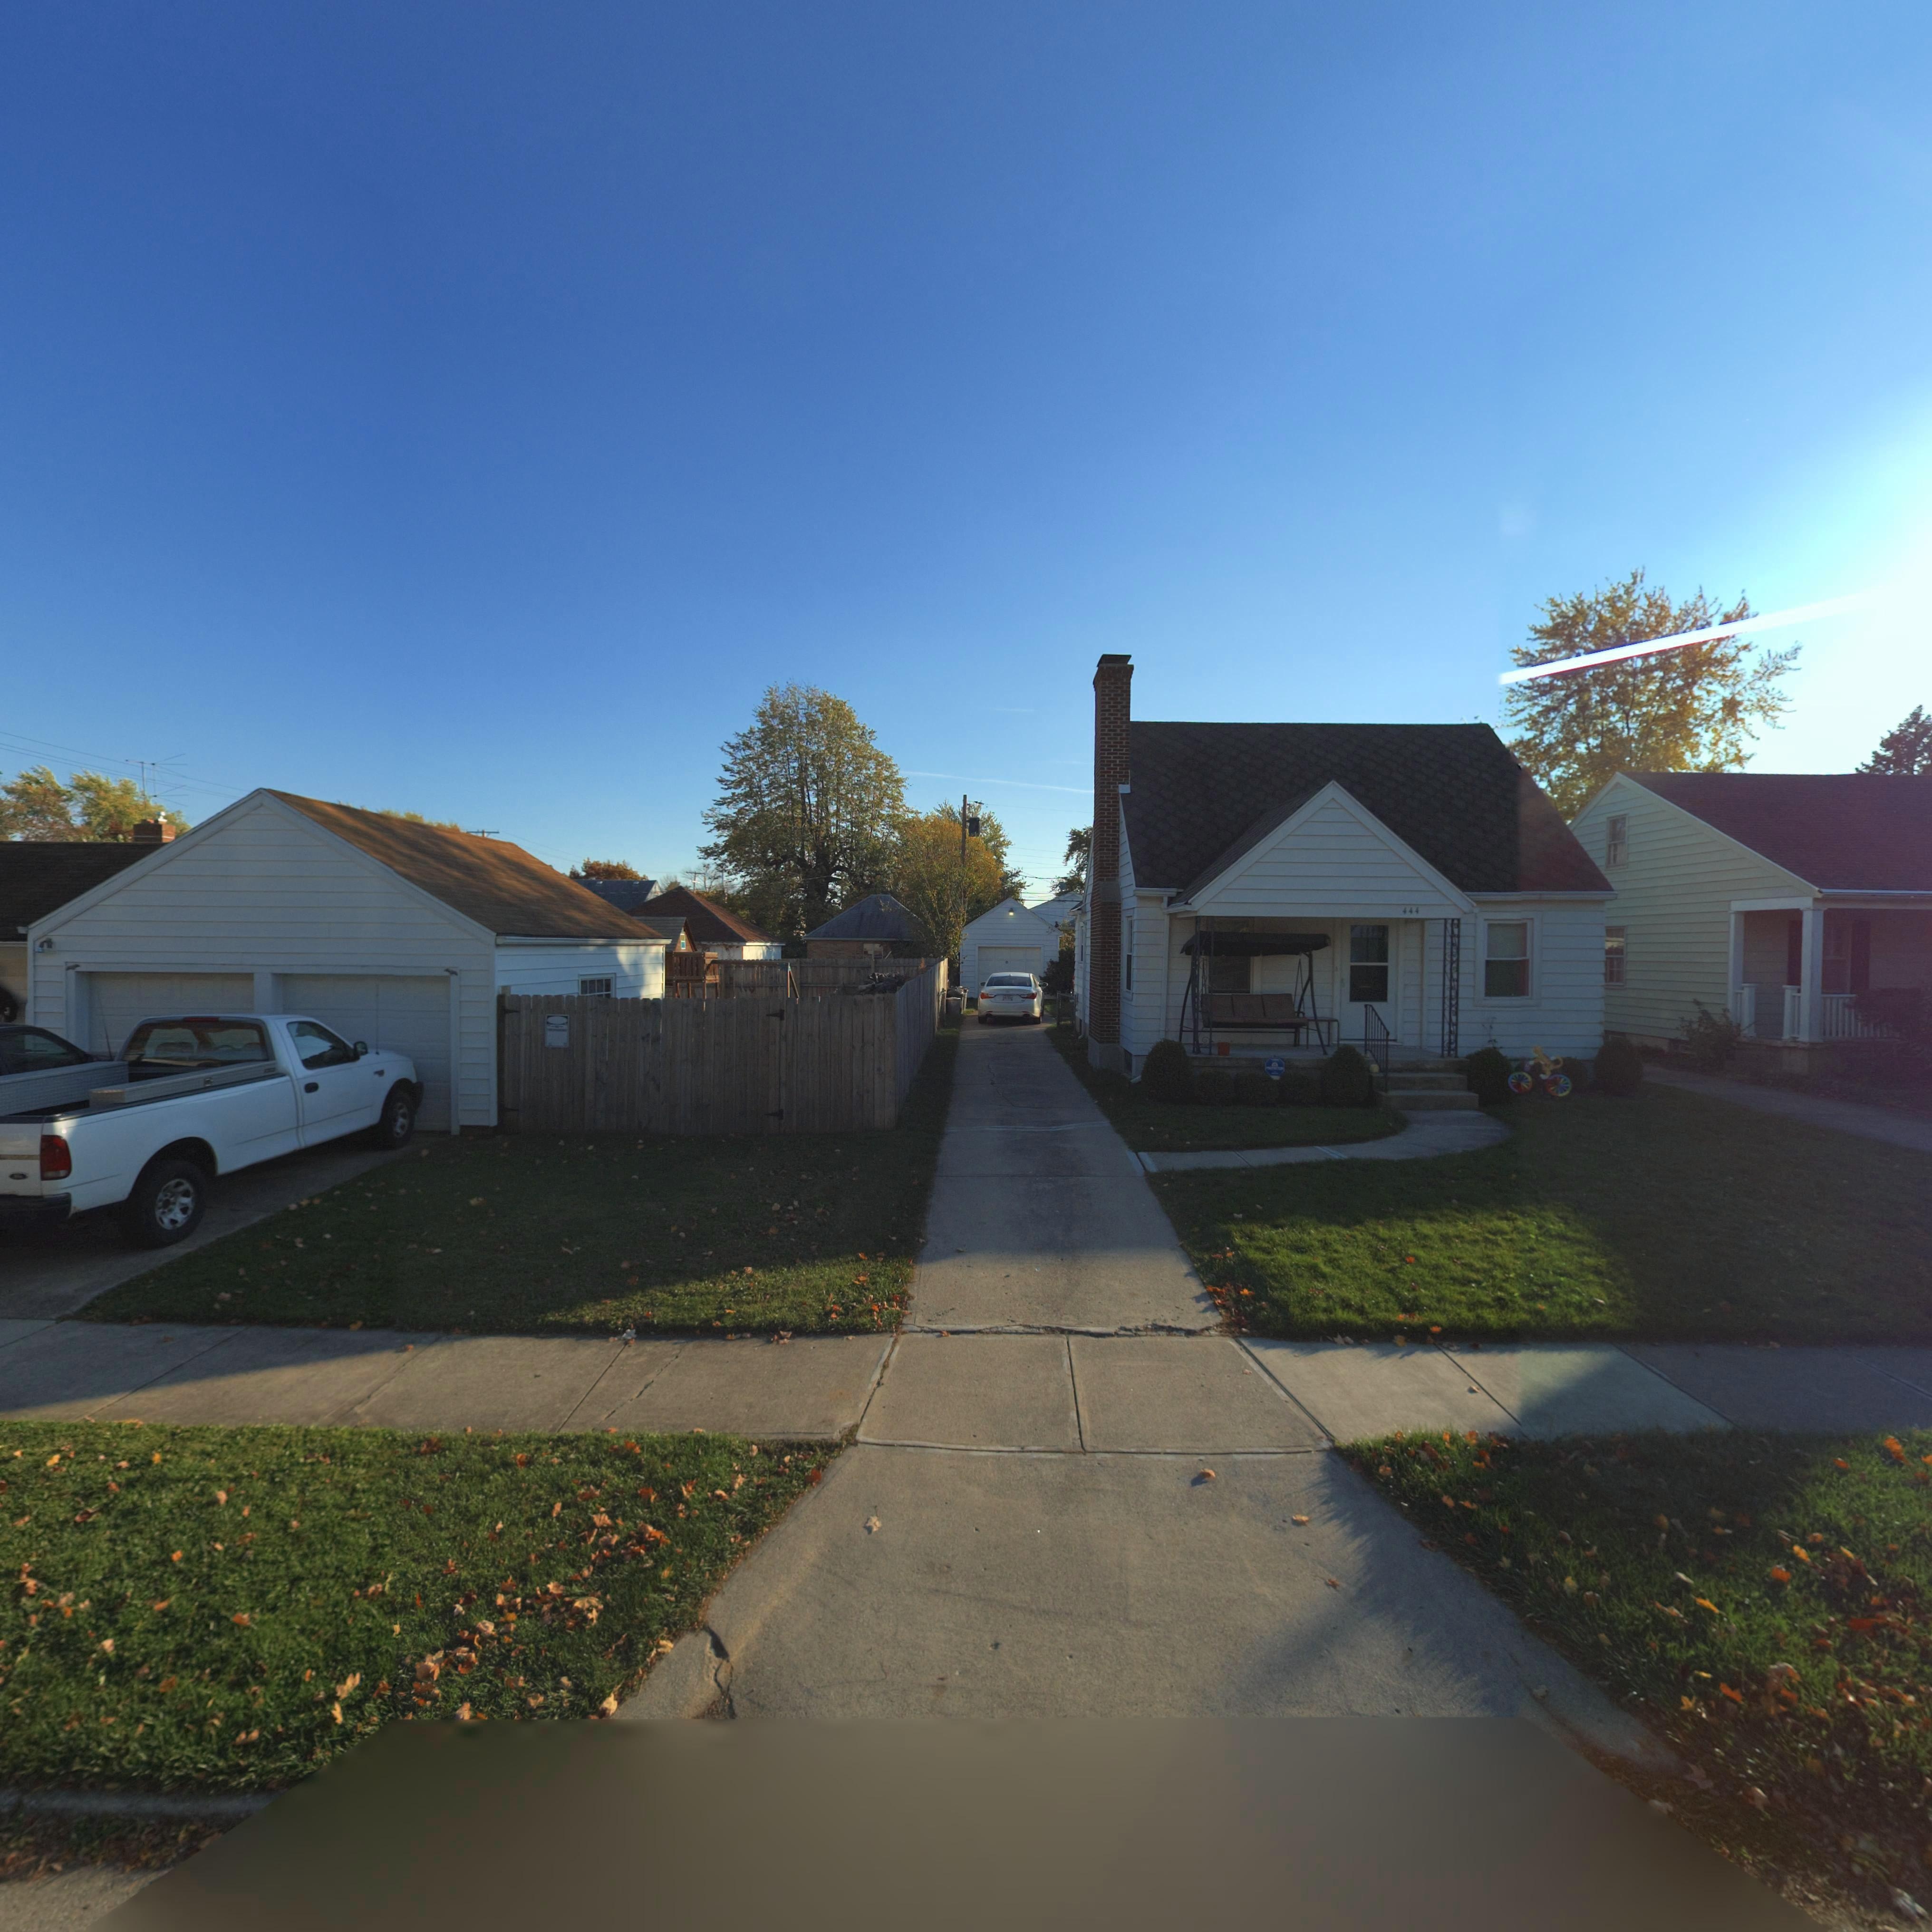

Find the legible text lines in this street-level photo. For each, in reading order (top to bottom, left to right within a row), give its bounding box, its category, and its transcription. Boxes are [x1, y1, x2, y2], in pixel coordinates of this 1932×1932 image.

[1401, 906, 1420, 914] StreetNumber: 444